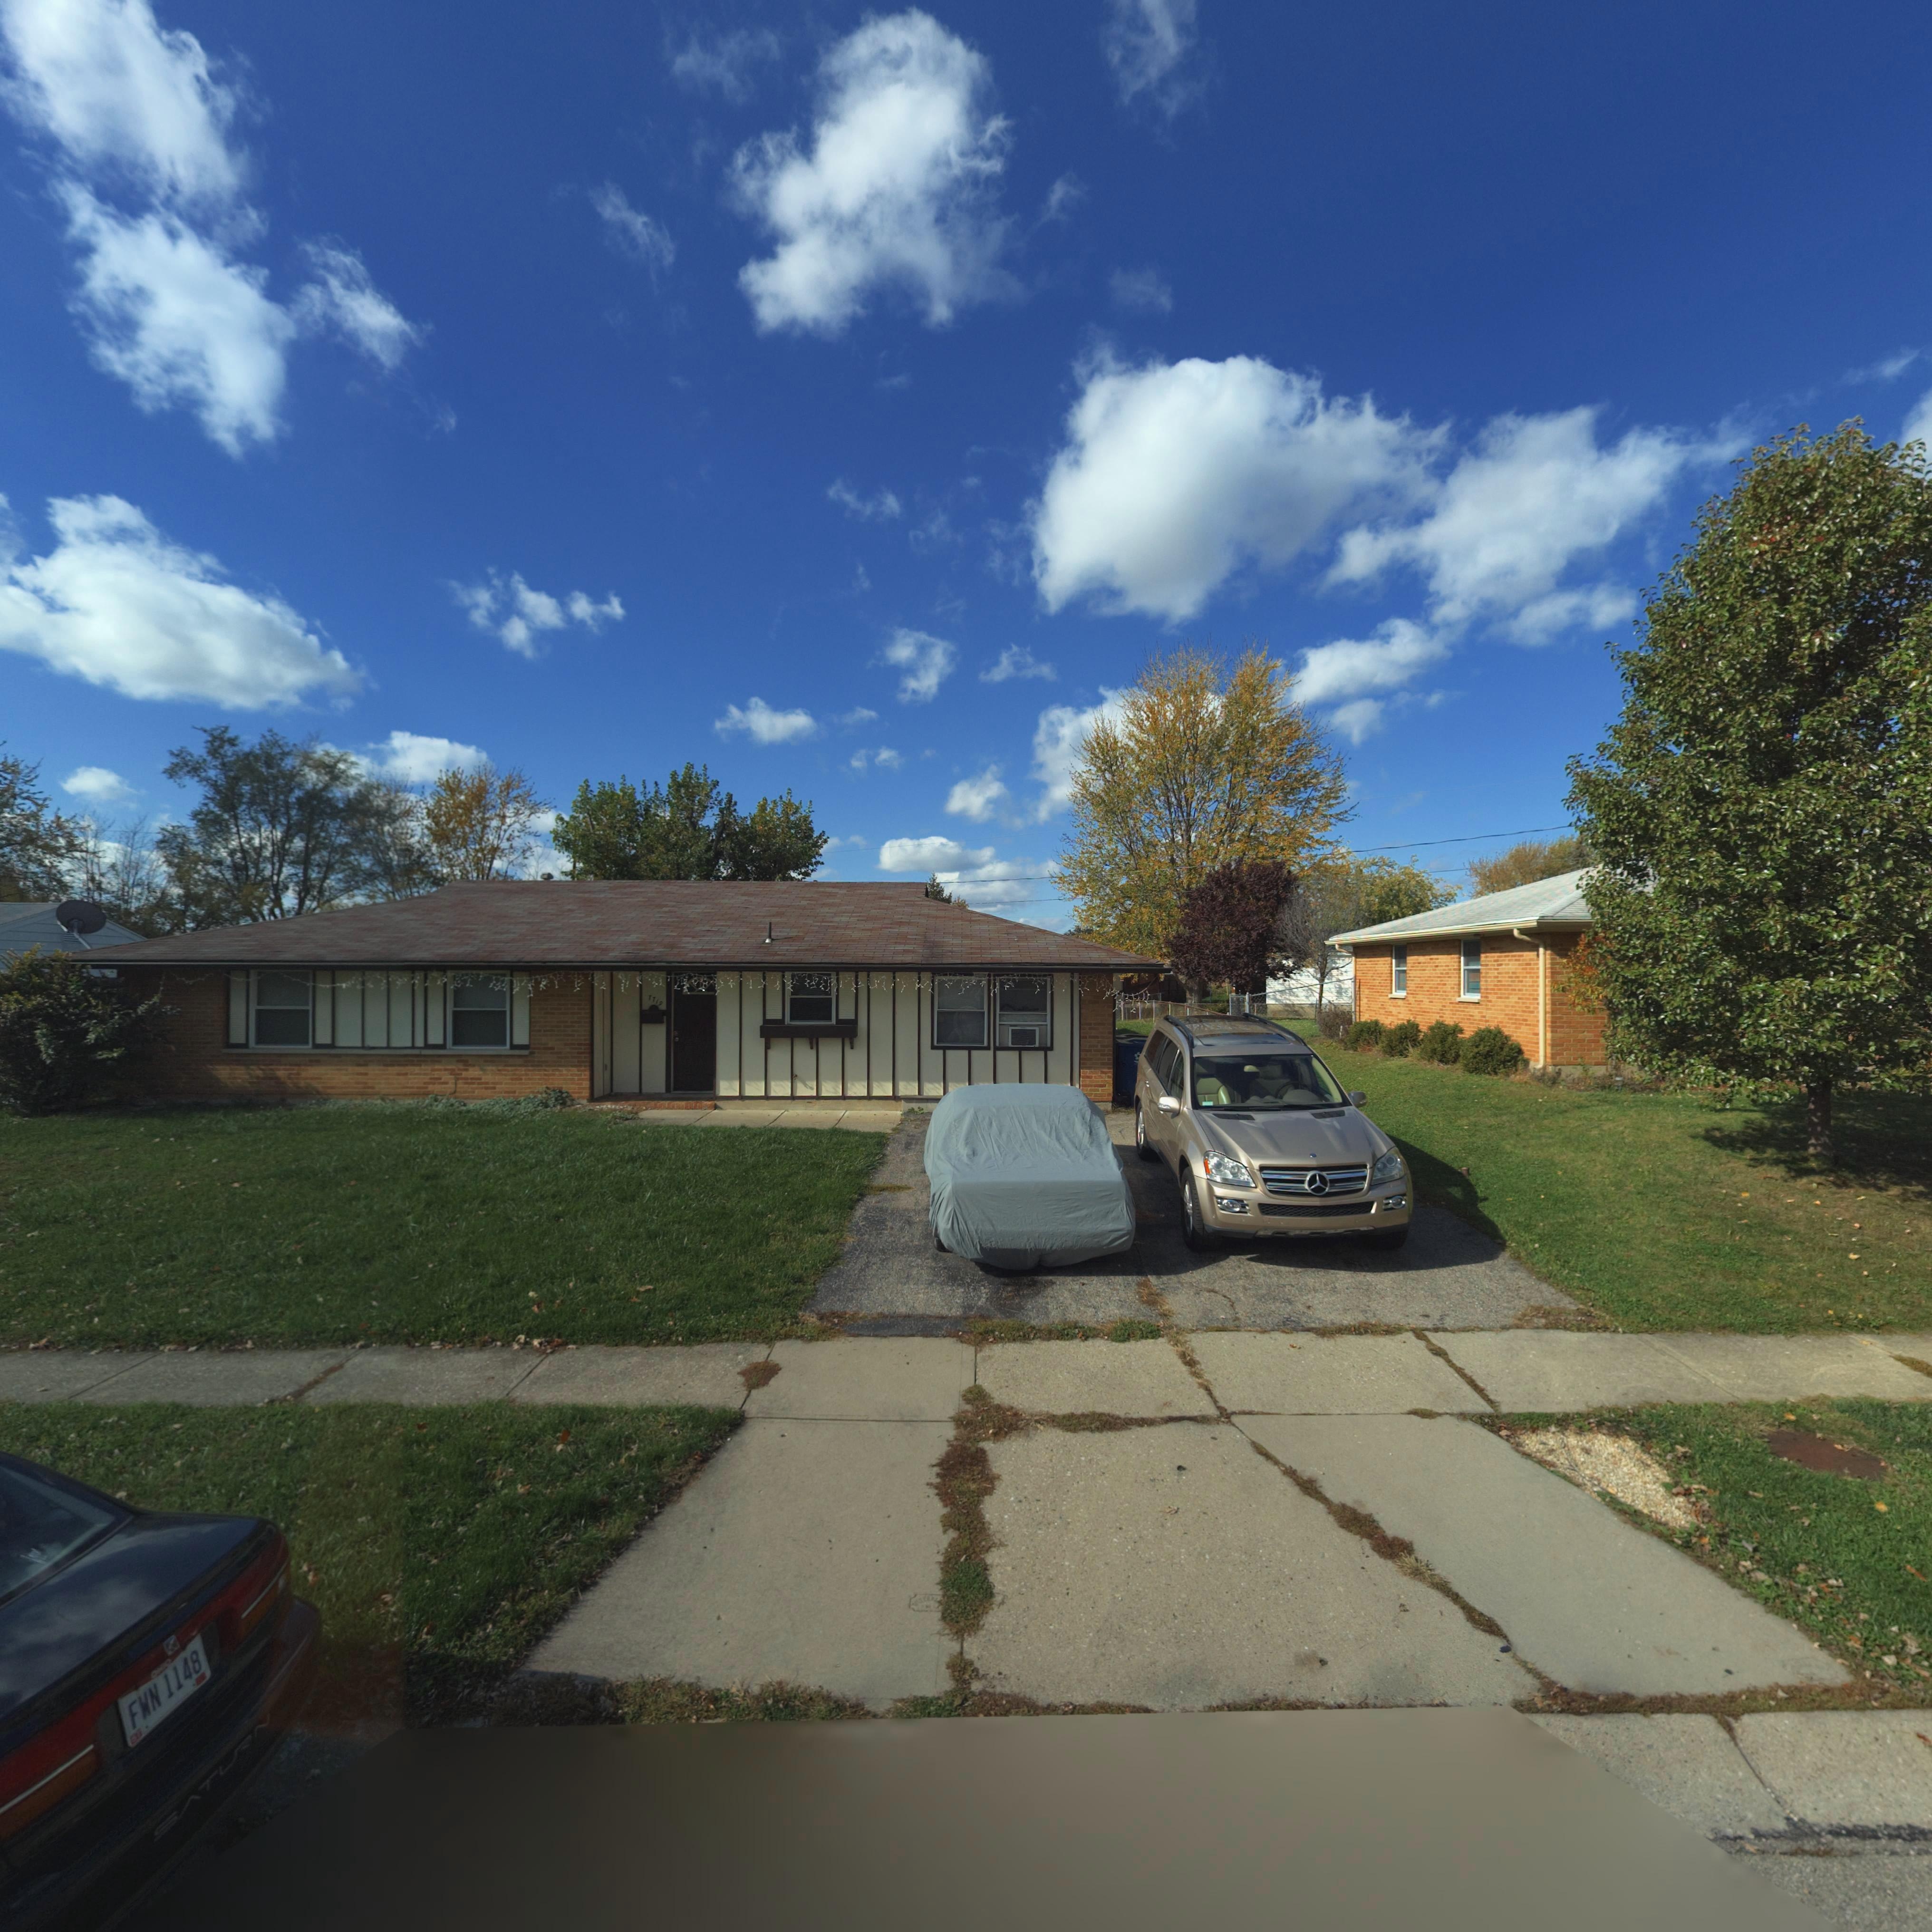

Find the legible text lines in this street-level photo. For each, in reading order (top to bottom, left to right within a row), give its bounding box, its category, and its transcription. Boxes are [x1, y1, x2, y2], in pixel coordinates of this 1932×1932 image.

[647, 994, 664, 1007] StreetNumber: 7719